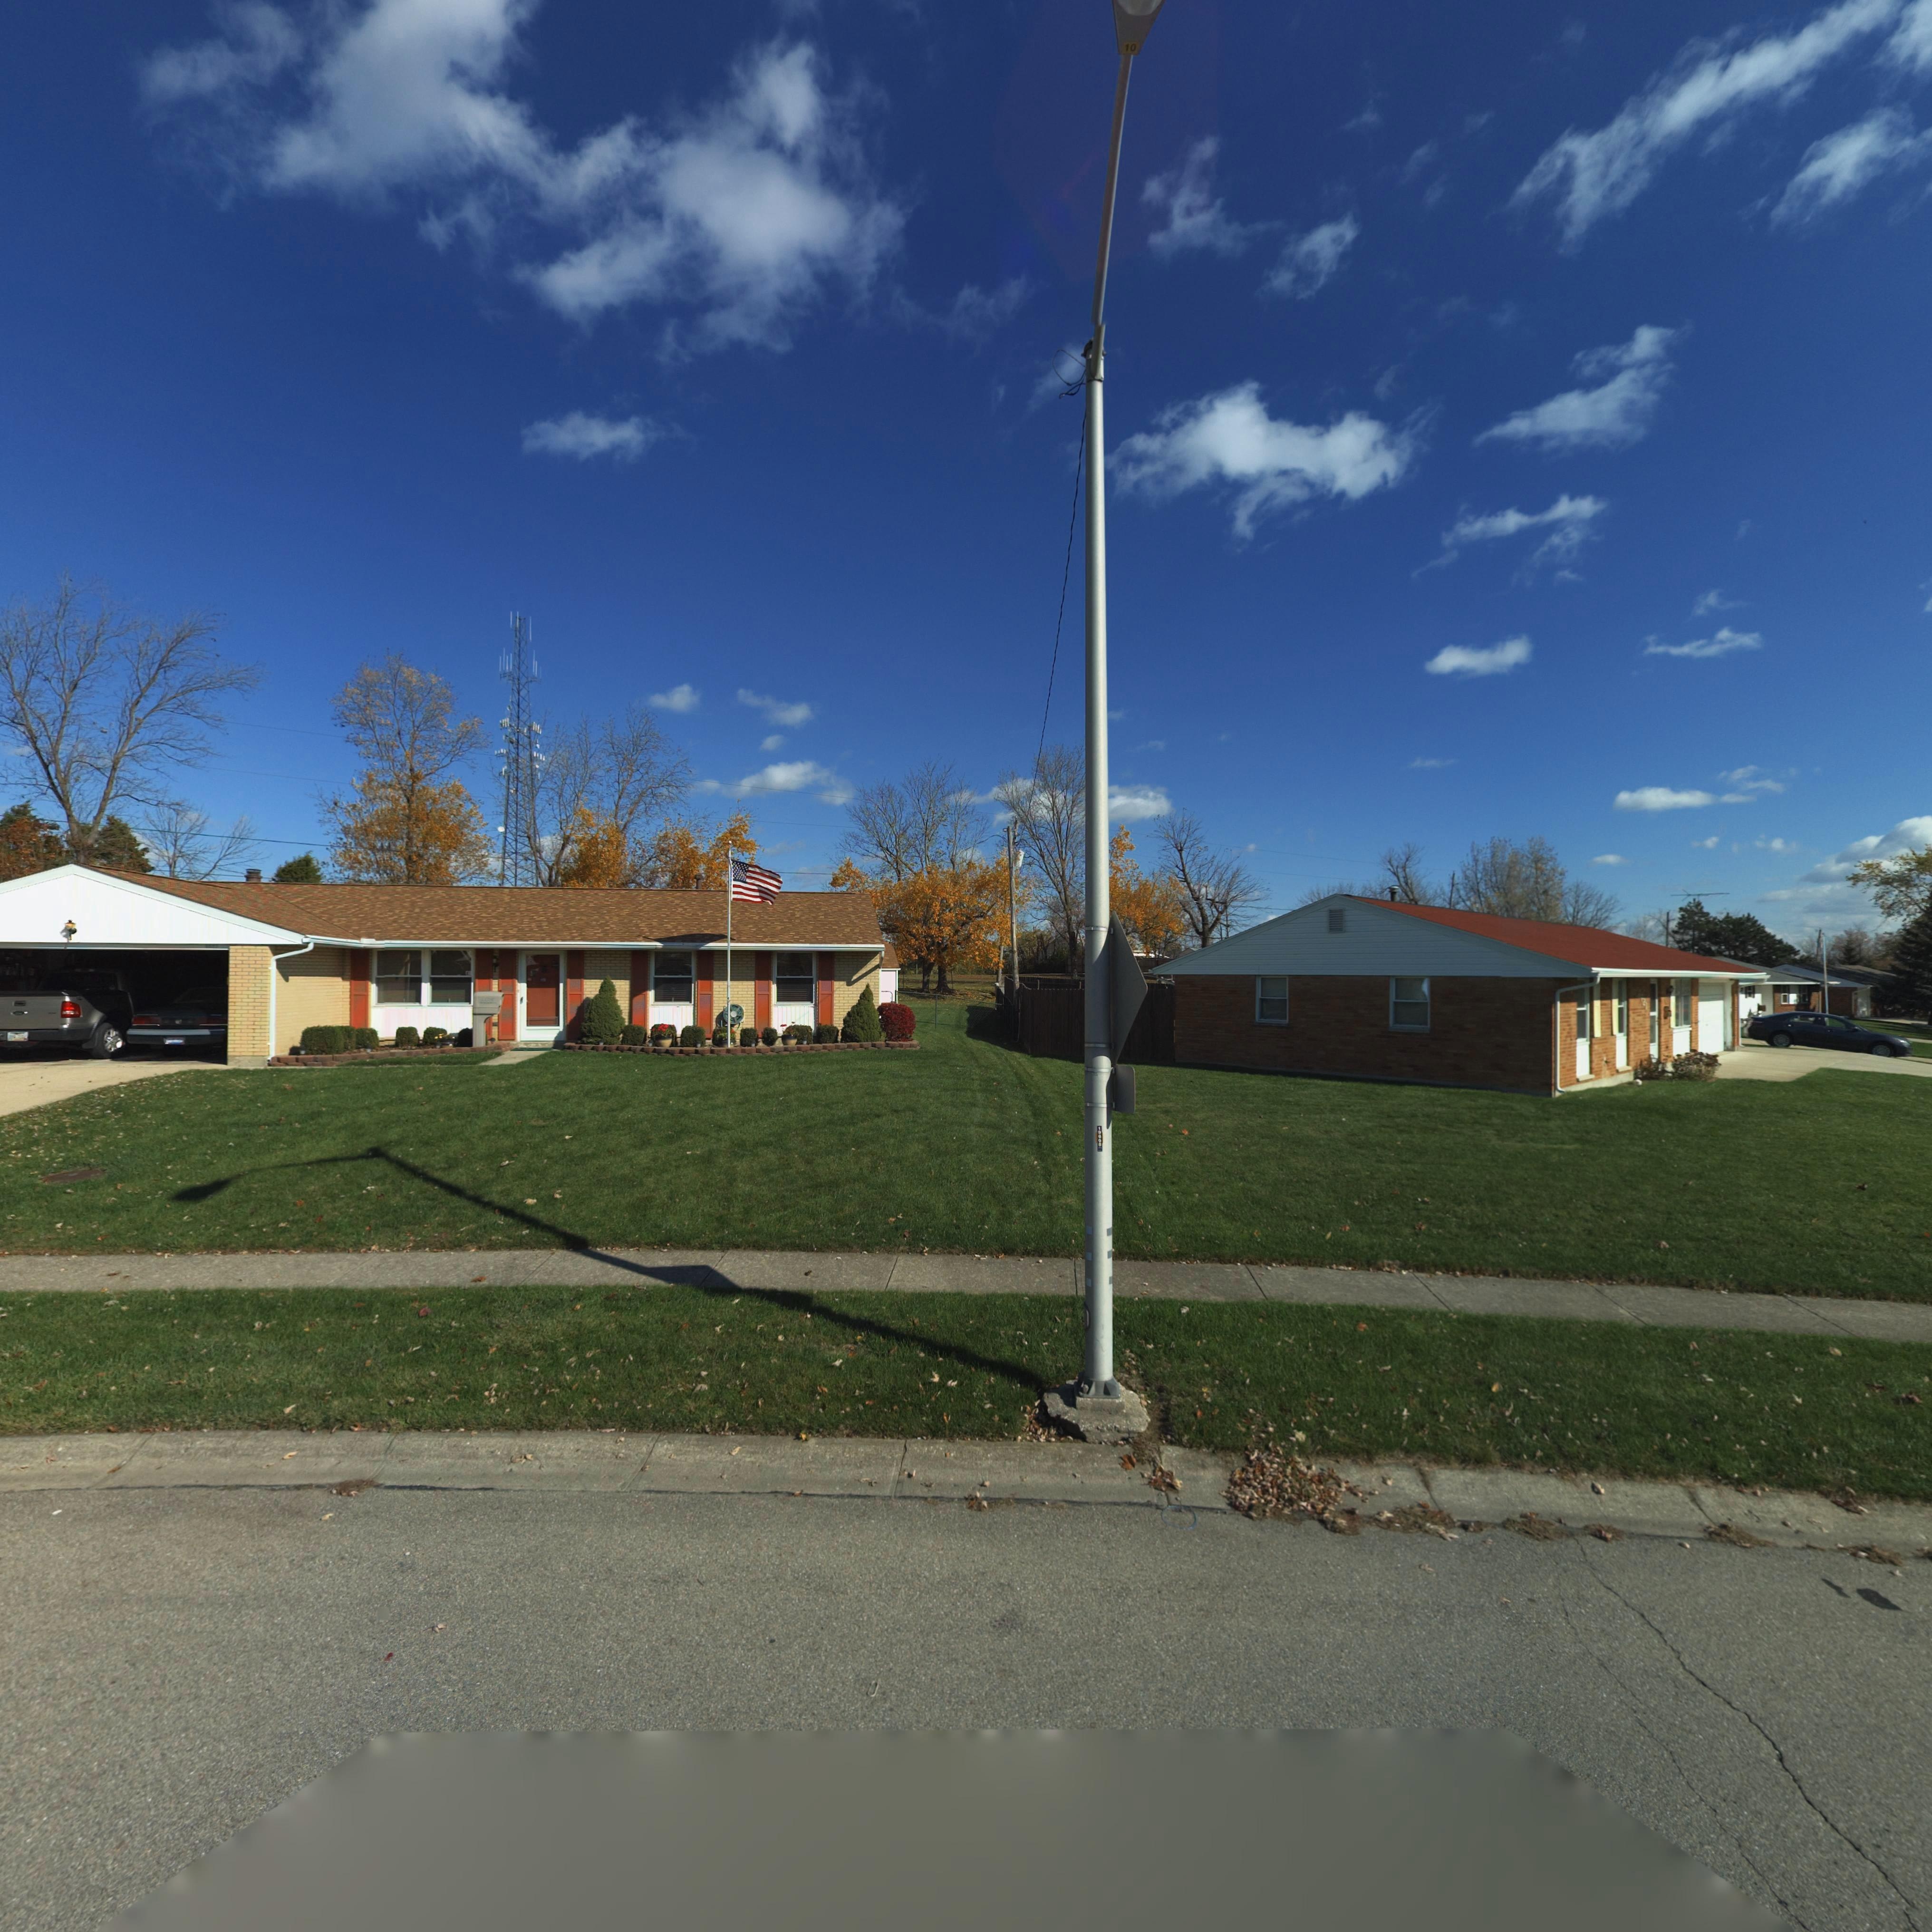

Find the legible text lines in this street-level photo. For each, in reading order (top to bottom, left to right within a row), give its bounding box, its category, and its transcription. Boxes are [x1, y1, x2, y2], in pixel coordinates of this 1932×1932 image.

[204, 944, 219, 948] StreetNumber: 6**5
[479, 997, 494, 1003] StreetNumber: 6685